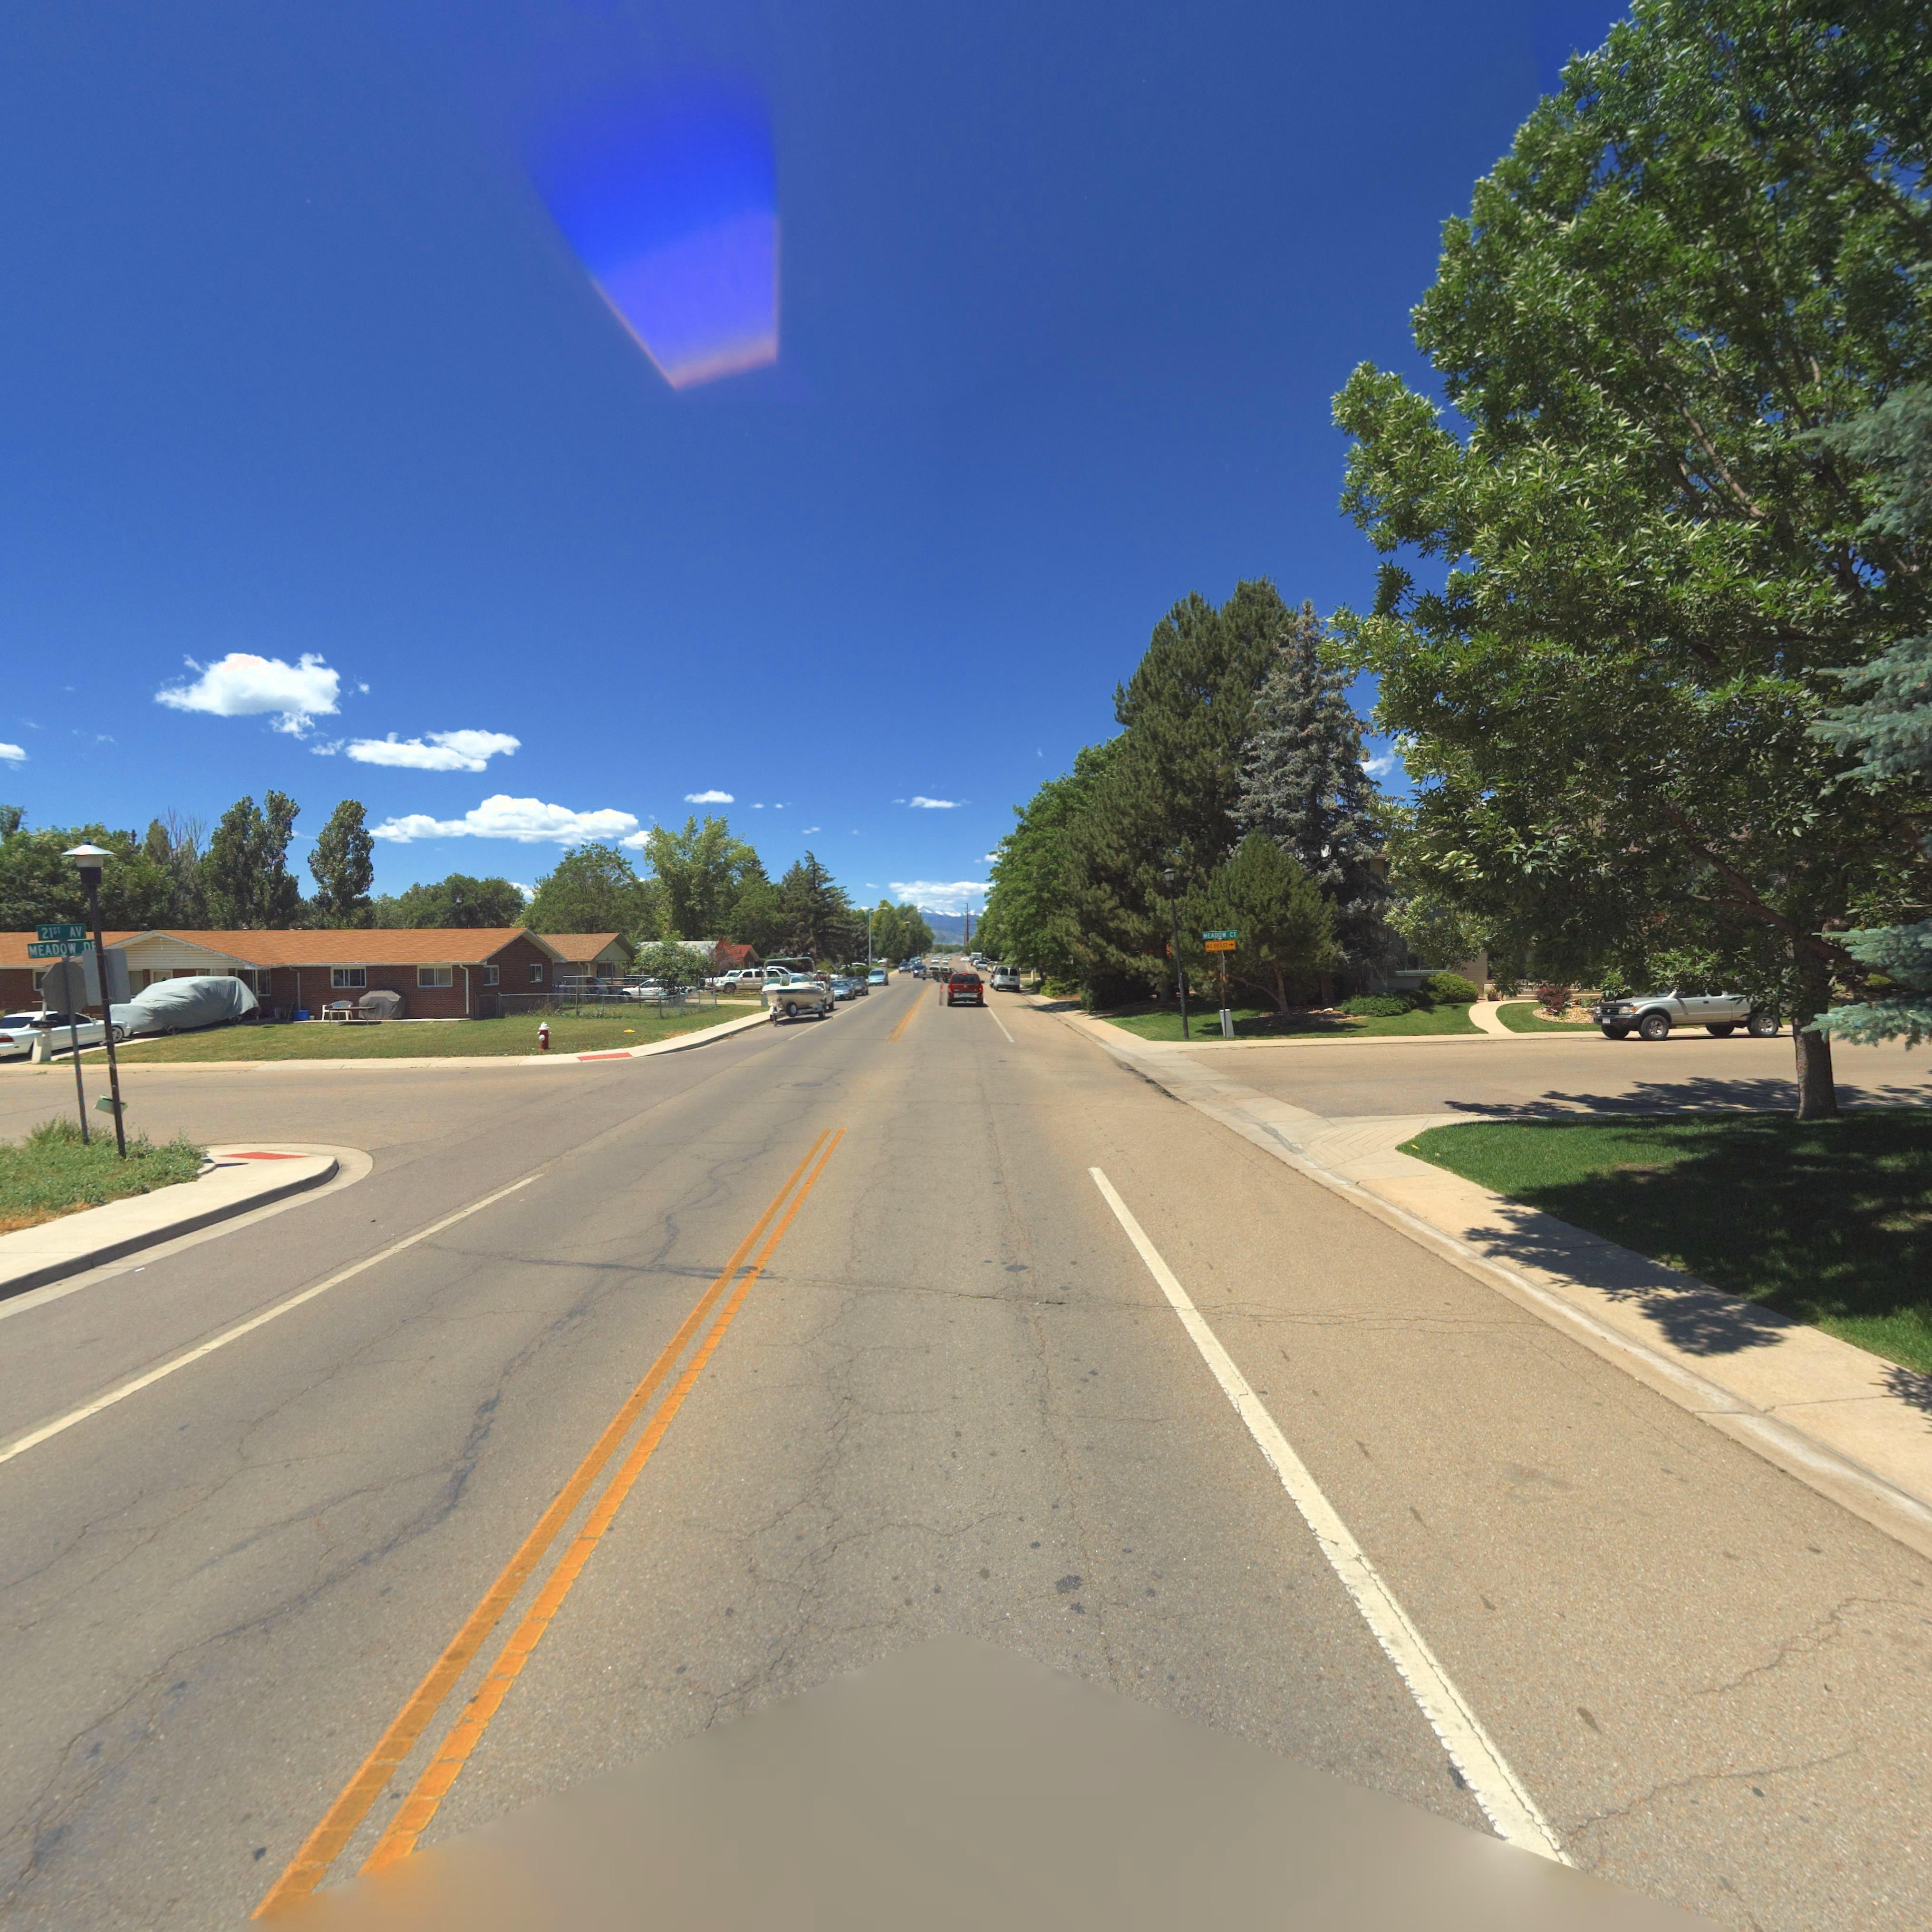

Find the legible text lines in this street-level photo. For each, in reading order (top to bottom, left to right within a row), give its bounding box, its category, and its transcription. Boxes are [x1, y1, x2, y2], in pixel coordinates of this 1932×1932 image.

[41, 924, 82, 939] StreetName: 21ST AV
[1203, 931, 1236, 938] StreetName: MEADOW CT
[28, 941, 77, 957] StreetName: MEADOW